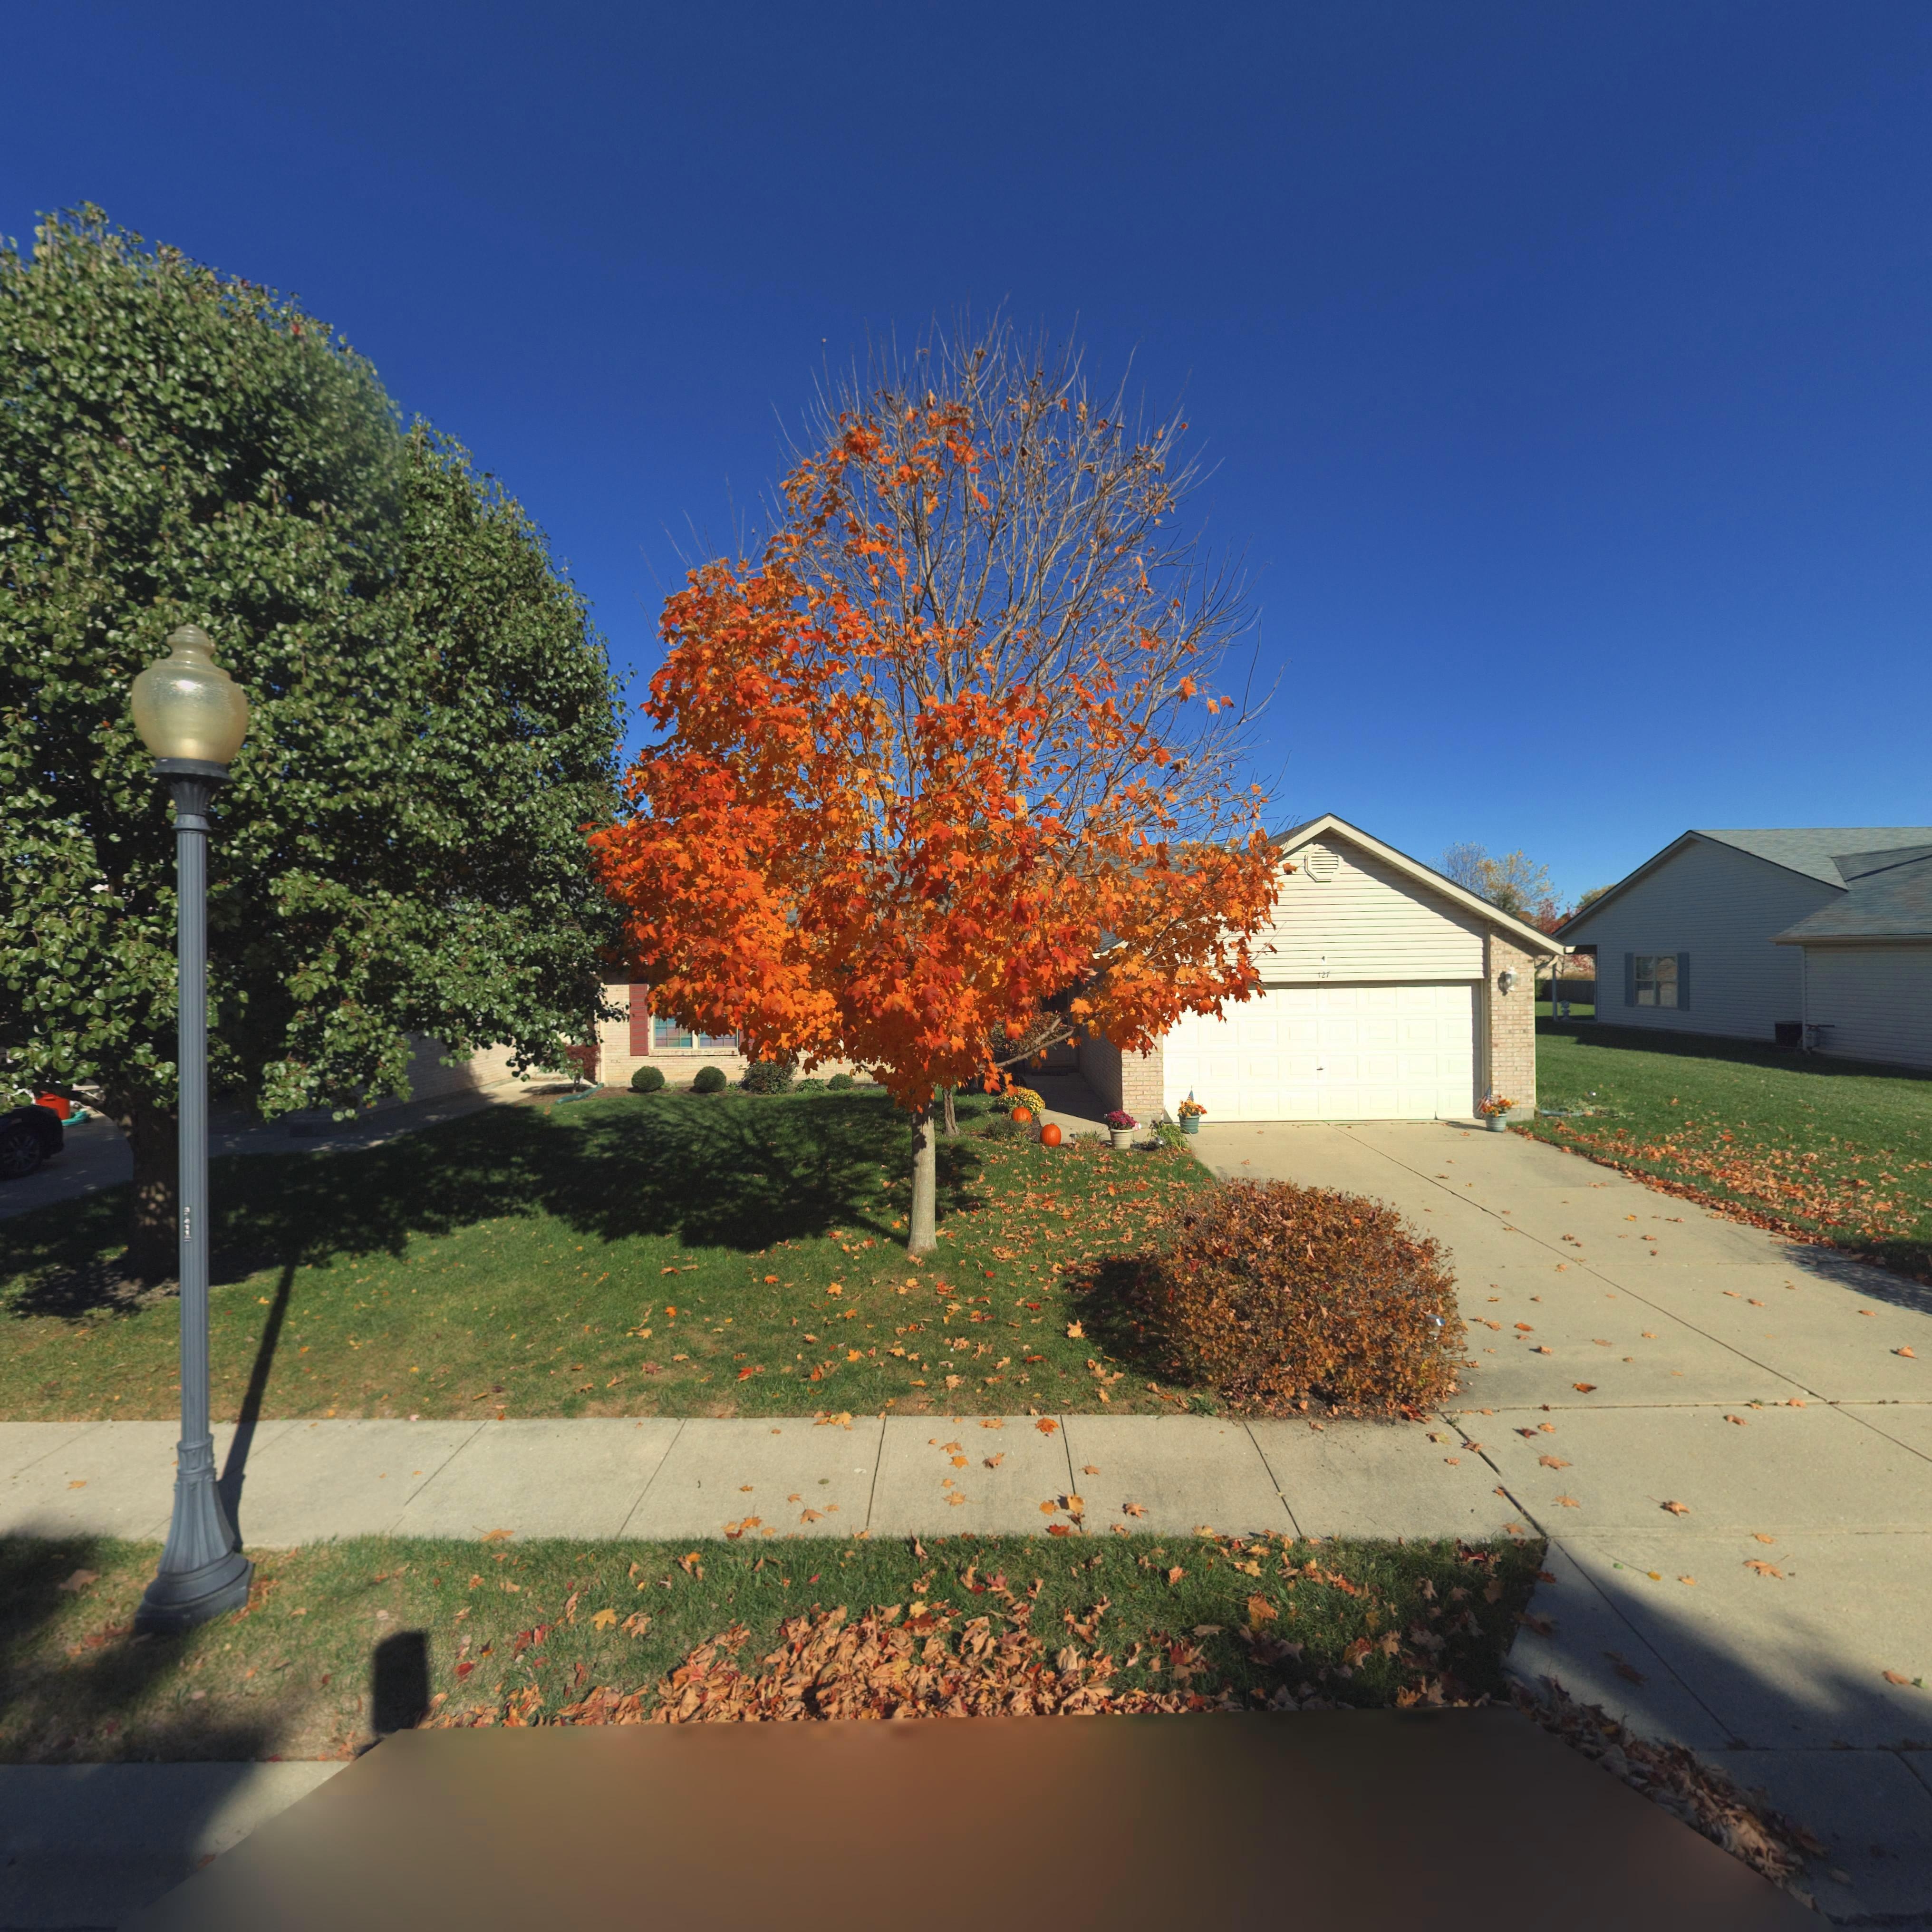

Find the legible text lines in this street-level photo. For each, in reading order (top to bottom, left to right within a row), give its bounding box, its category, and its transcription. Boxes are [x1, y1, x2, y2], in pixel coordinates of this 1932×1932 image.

[1317, 971, 1330, 978] StreetNumber: 127